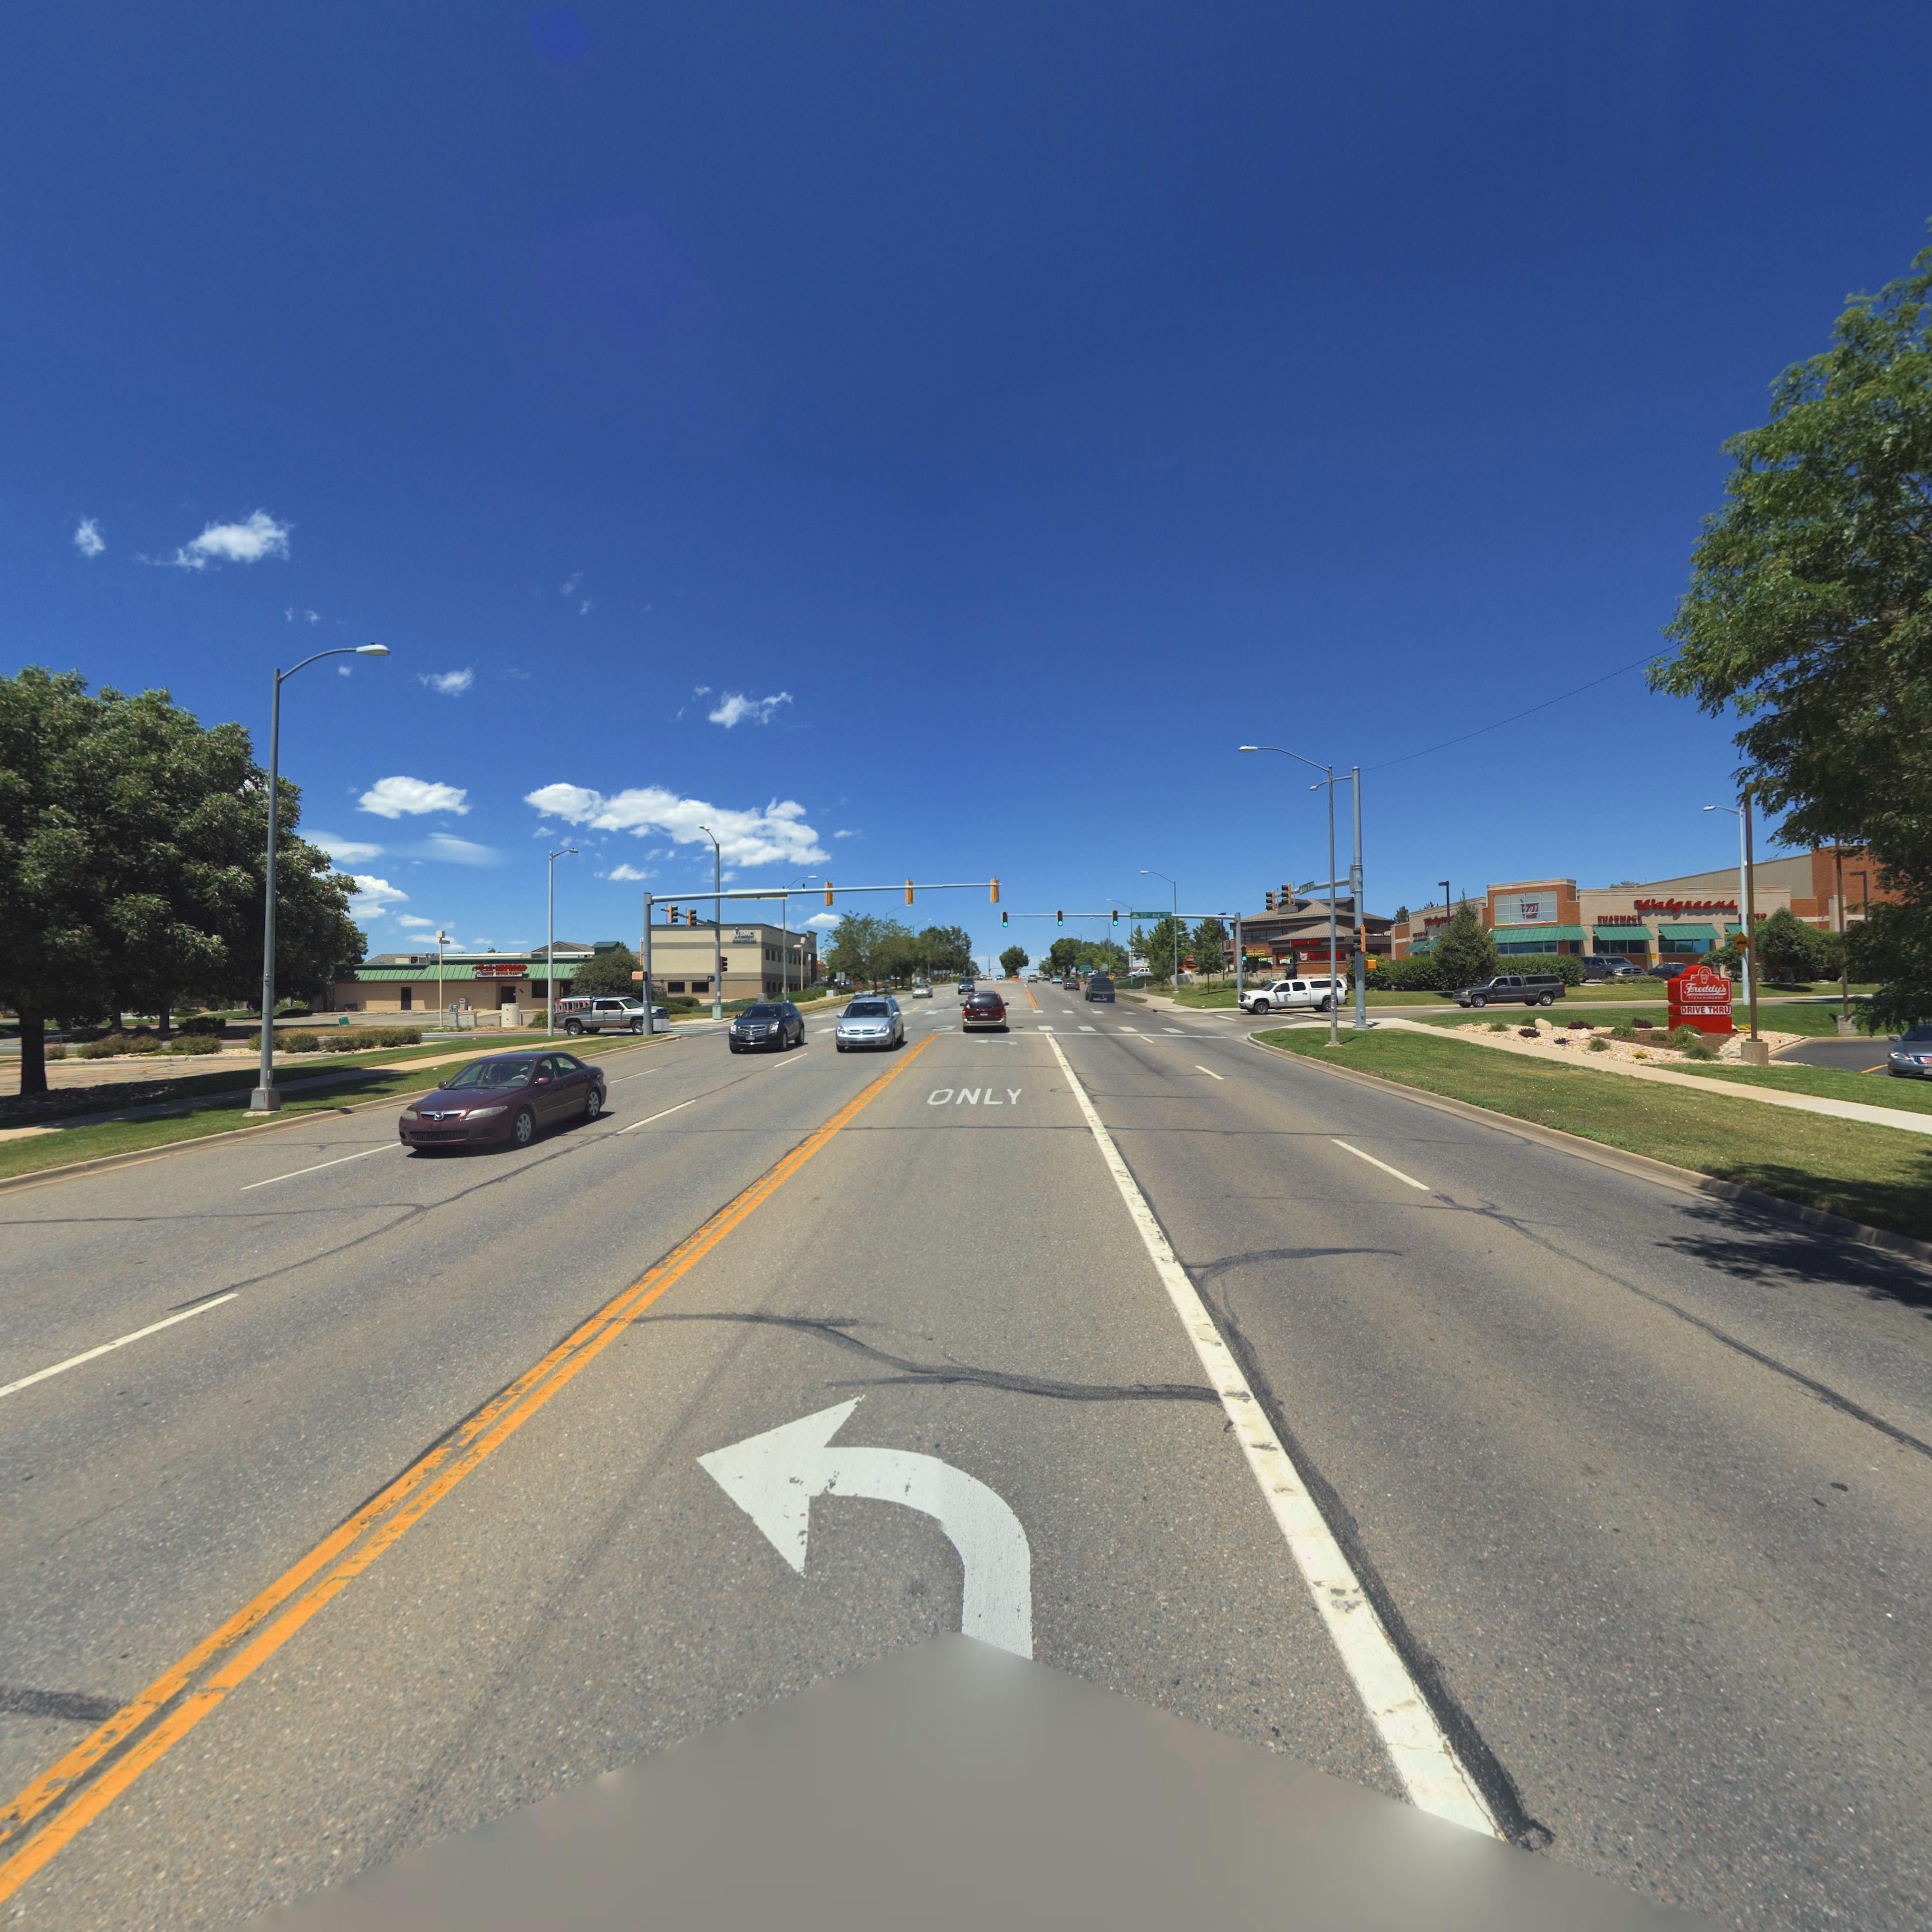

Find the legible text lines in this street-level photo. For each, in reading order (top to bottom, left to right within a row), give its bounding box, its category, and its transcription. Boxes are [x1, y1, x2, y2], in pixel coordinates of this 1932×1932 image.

[1302, 884, 1310, 893] StreetName: M*** S*
[1633, 897, 1739, 913] BusinessName: Walgreens
[1140, 913, 1161, 918] StreetName: 23** Ave
[1422, 914, 1458, 928] BusinessName: Walgre***
[737, 930, 753, 937] BusinessName: IBMC
[471, 961, 527, 972] BusinessName: Al* EXPRESS
[1683, 982, 1727, 995] BusinessName: Freddy's